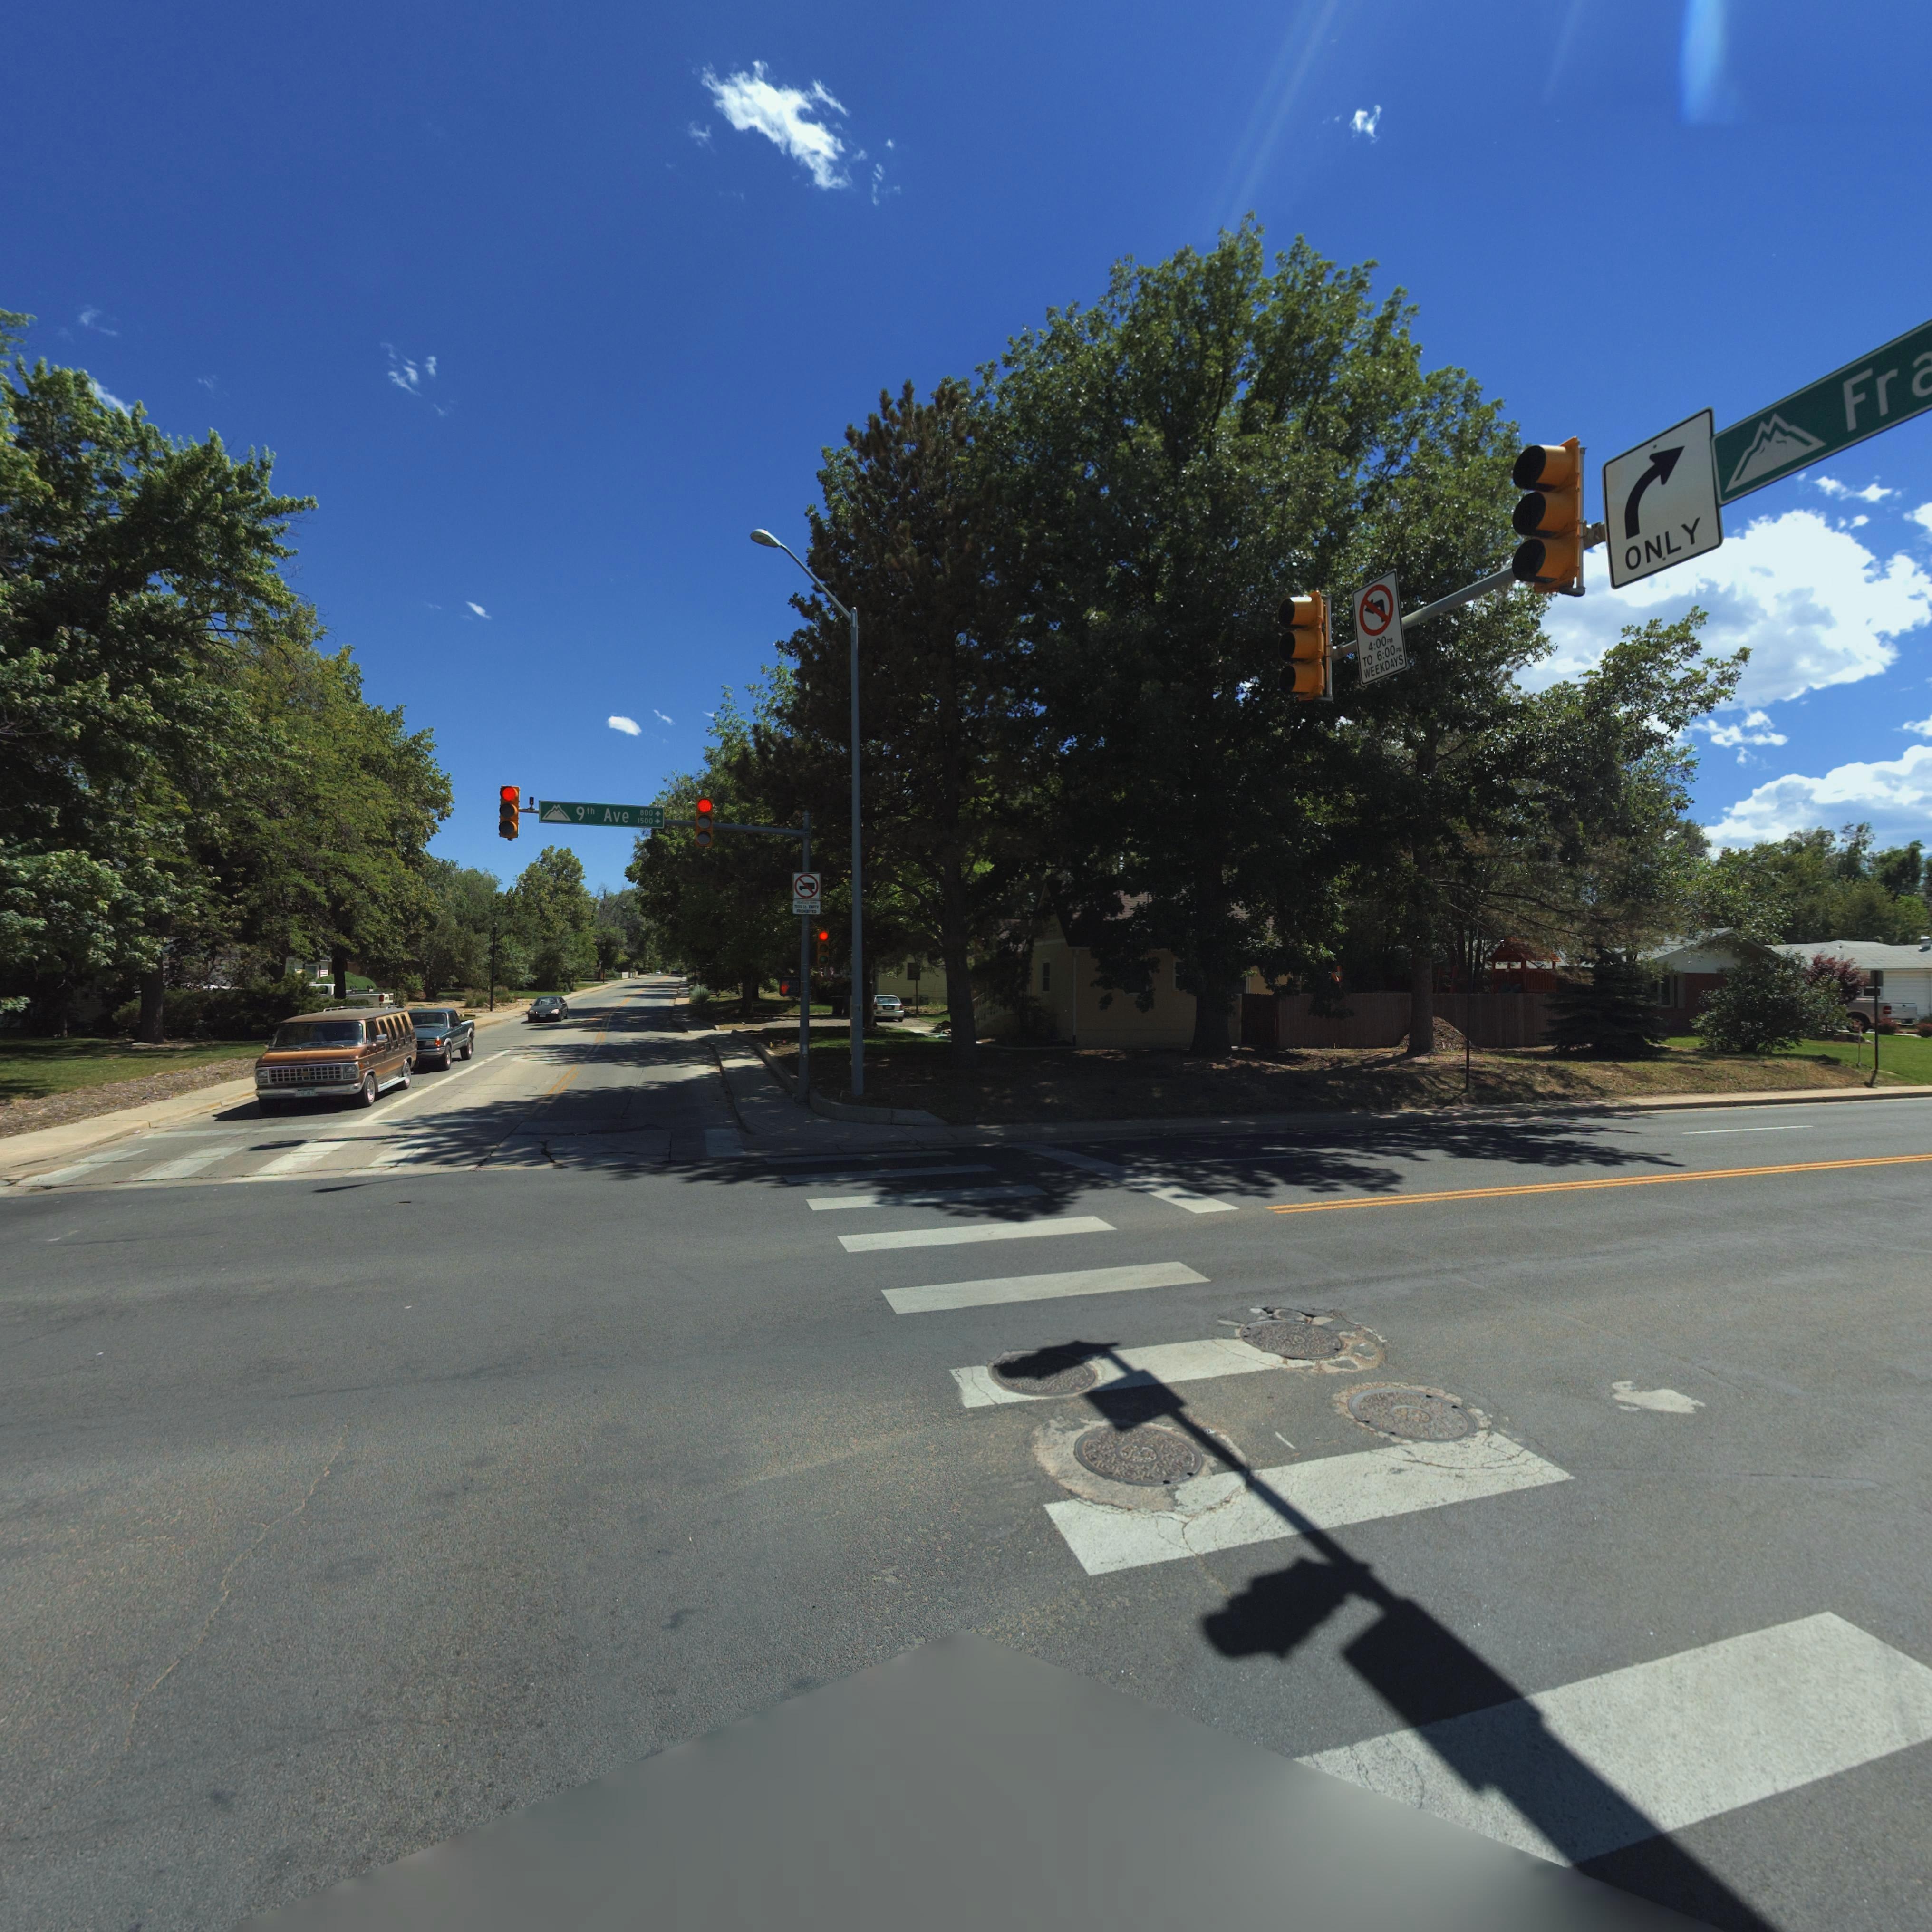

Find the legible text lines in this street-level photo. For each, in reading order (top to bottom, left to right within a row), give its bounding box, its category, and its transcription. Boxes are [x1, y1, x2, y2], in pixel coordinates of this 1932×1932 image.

[1841, 367, 1899, 433] StreetName: Fr
[575, 806, 629, 823] StreetName: 9th Ave
[639, 809, 653, 816] StreetNumberRange: 800
[637, 817, 661, 824] StreetNumberRange: 1500->